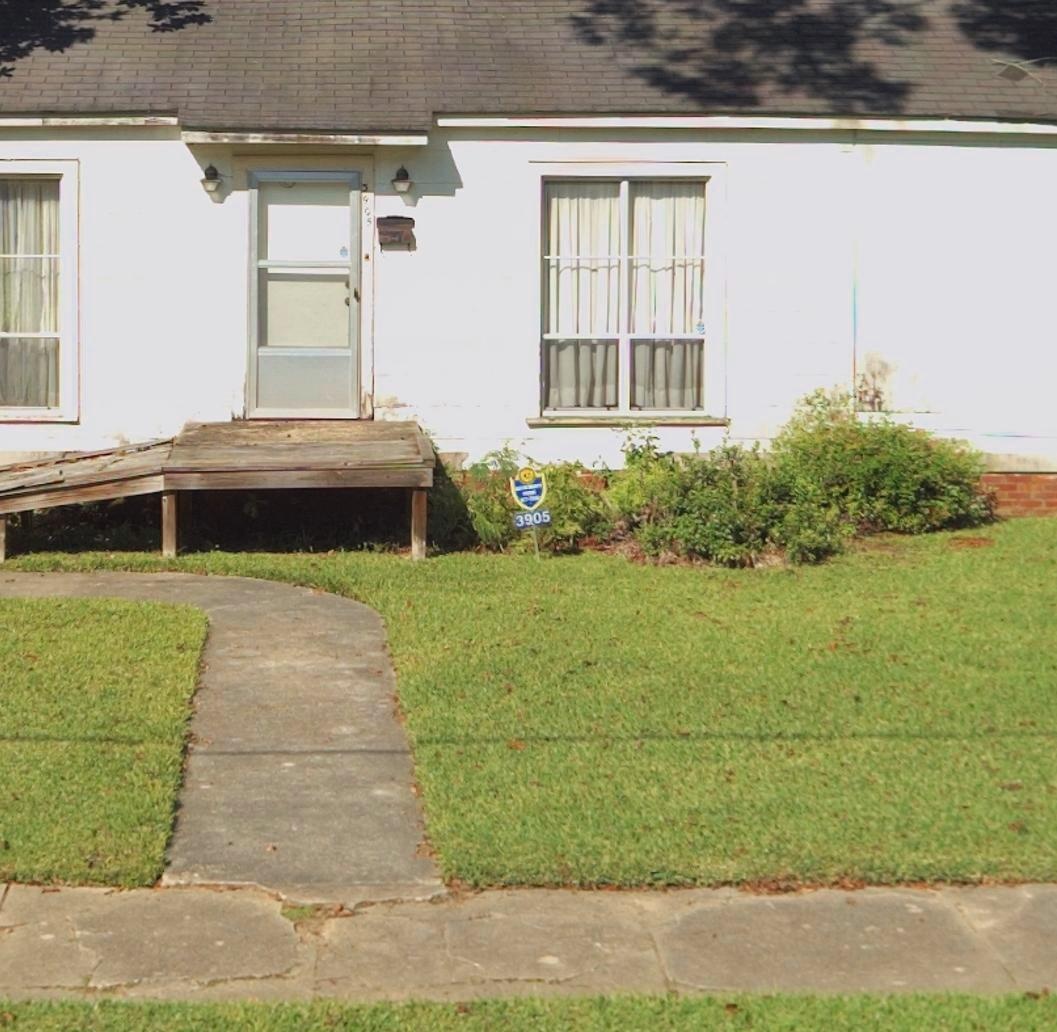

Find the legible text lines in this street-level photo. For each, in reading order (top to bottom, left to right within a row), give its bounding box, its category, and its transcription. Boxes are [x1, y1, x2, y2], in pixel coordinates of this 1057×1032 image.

[361, 183, 372, 227] StreetNumber: **05
[515, 508, 552, 529] StreetNumber: 3905